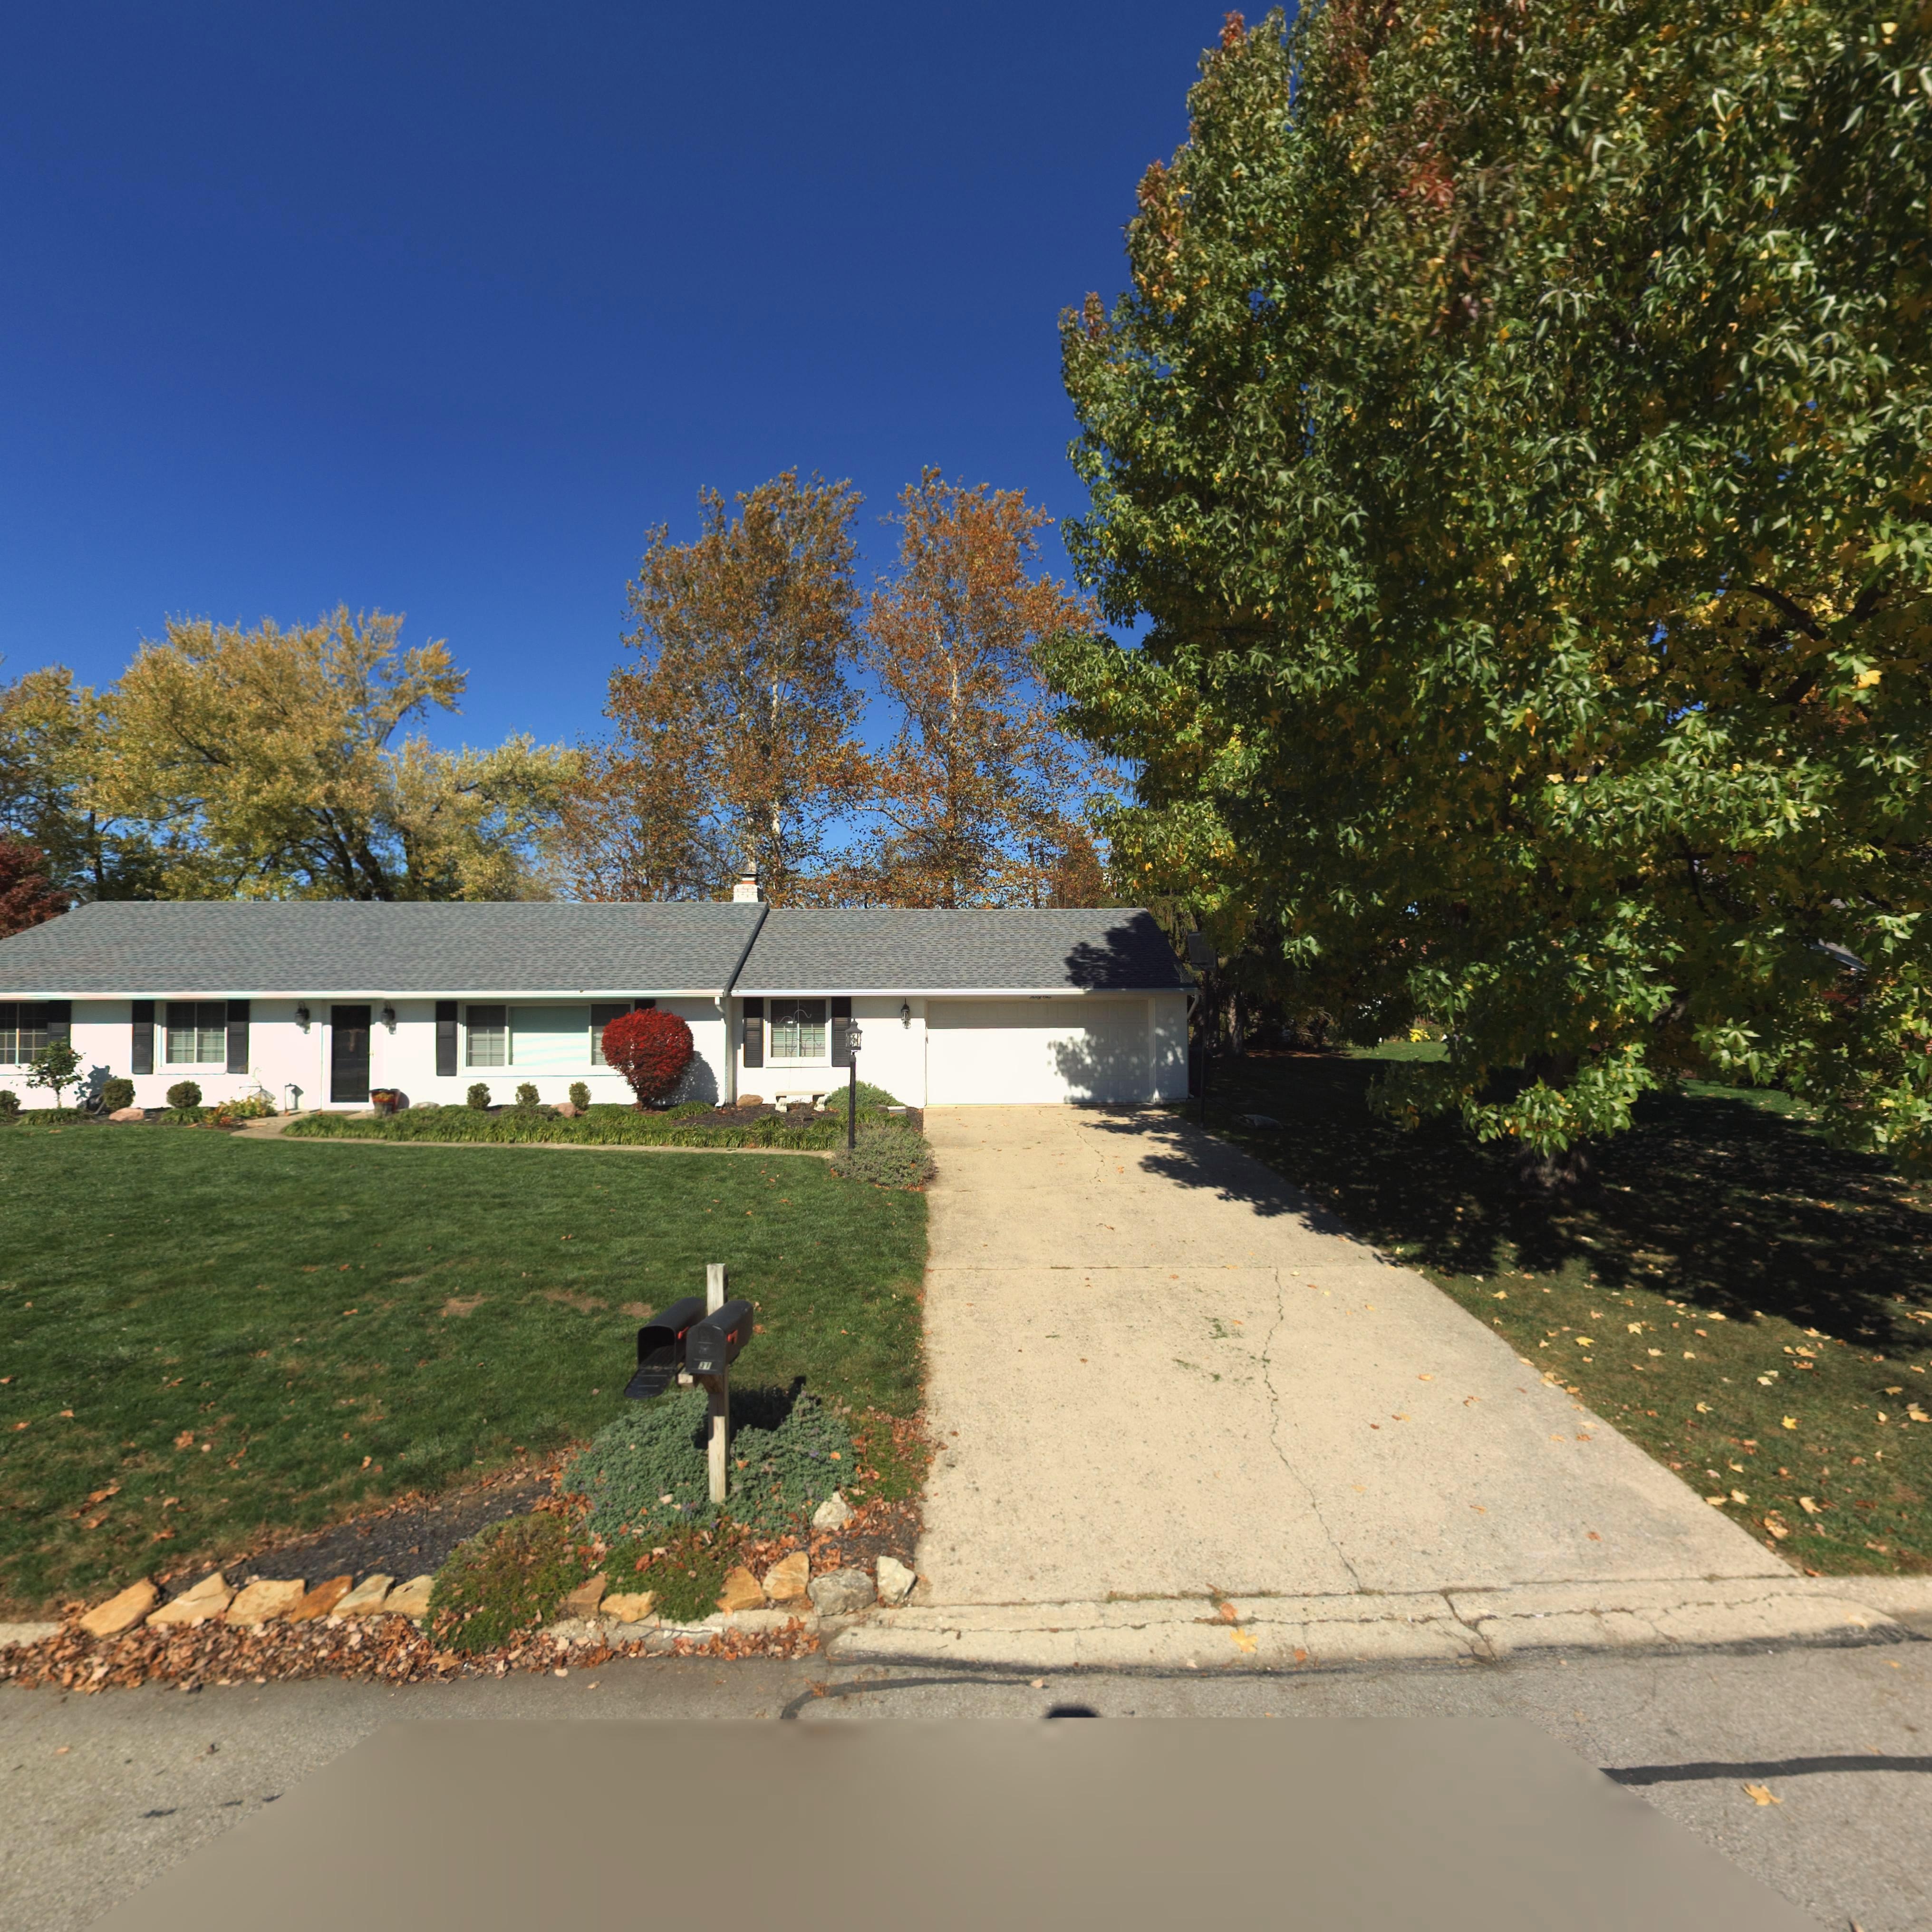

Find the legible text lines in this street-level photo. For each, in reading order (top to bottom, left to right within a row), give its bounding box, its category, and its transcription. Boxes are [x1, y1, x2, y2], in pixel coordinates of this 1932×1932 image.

[698, 1361, 711, 1370] StreetNumber: 31